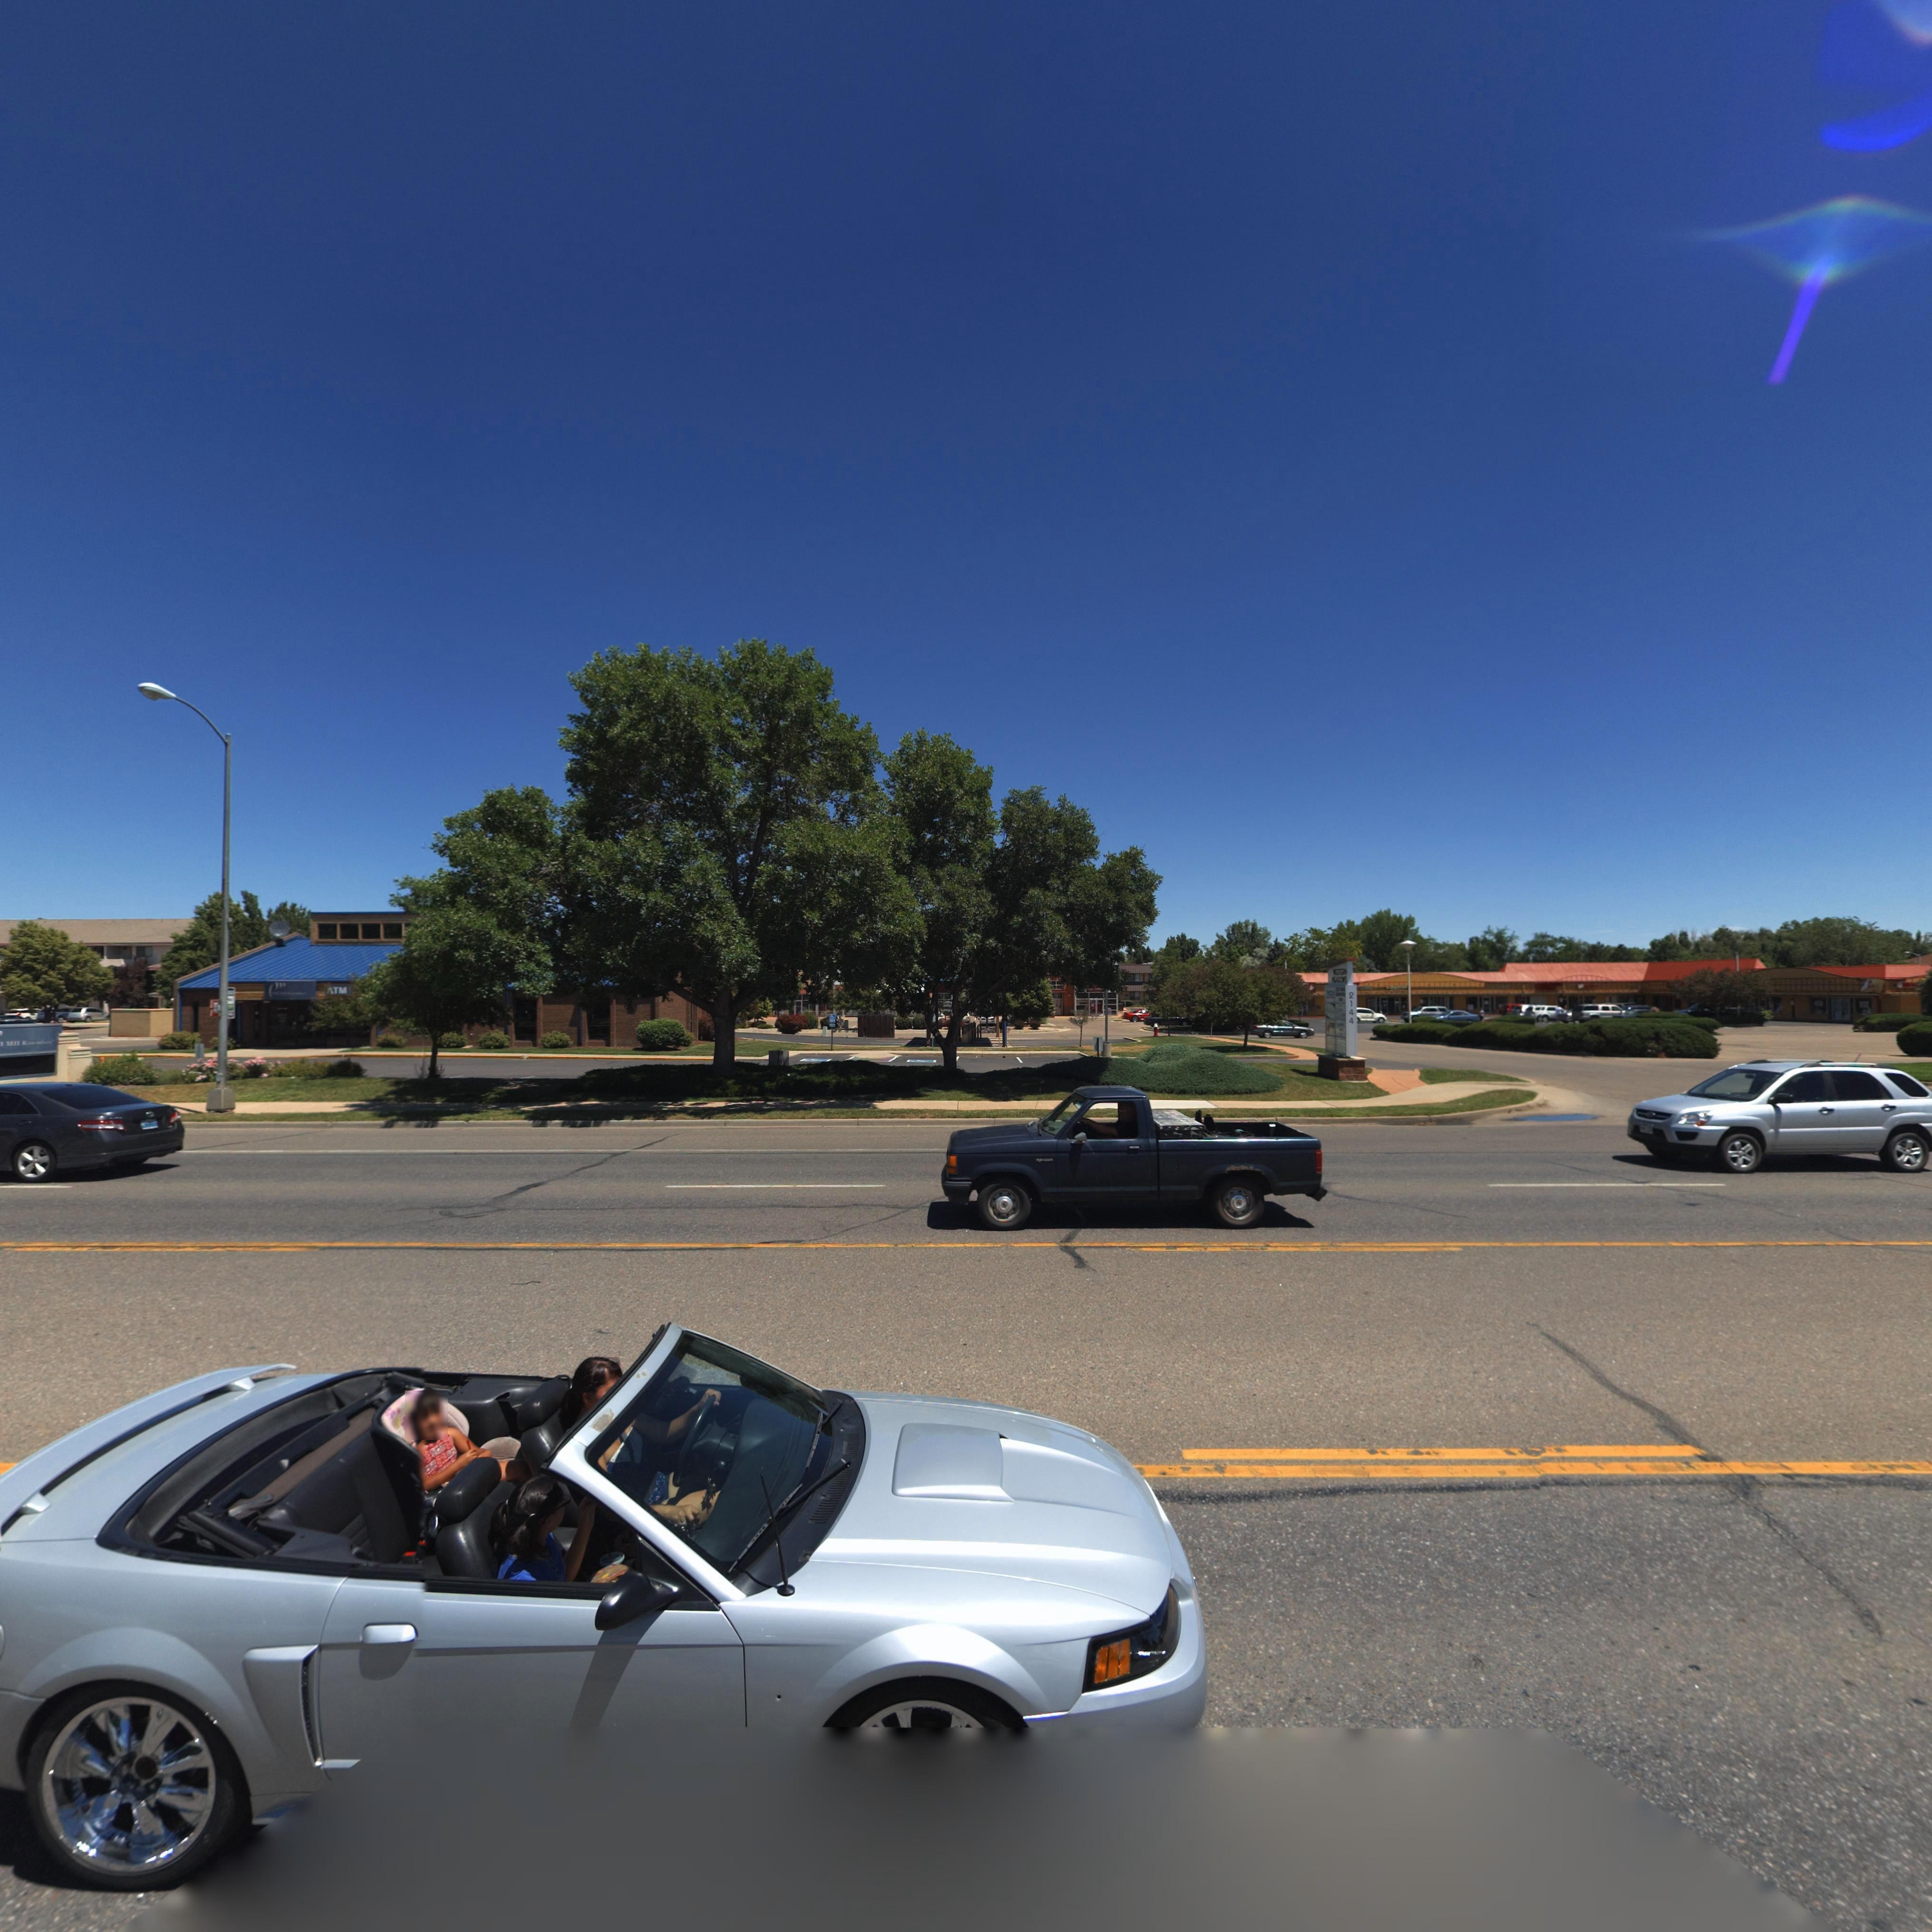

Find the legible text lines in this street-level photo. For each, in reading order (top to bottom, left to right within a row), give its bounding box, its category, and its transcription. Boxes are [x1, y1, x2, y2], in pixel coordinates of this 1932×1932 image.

[1348, 992, 1353, 1024] StreetNumber: 2144